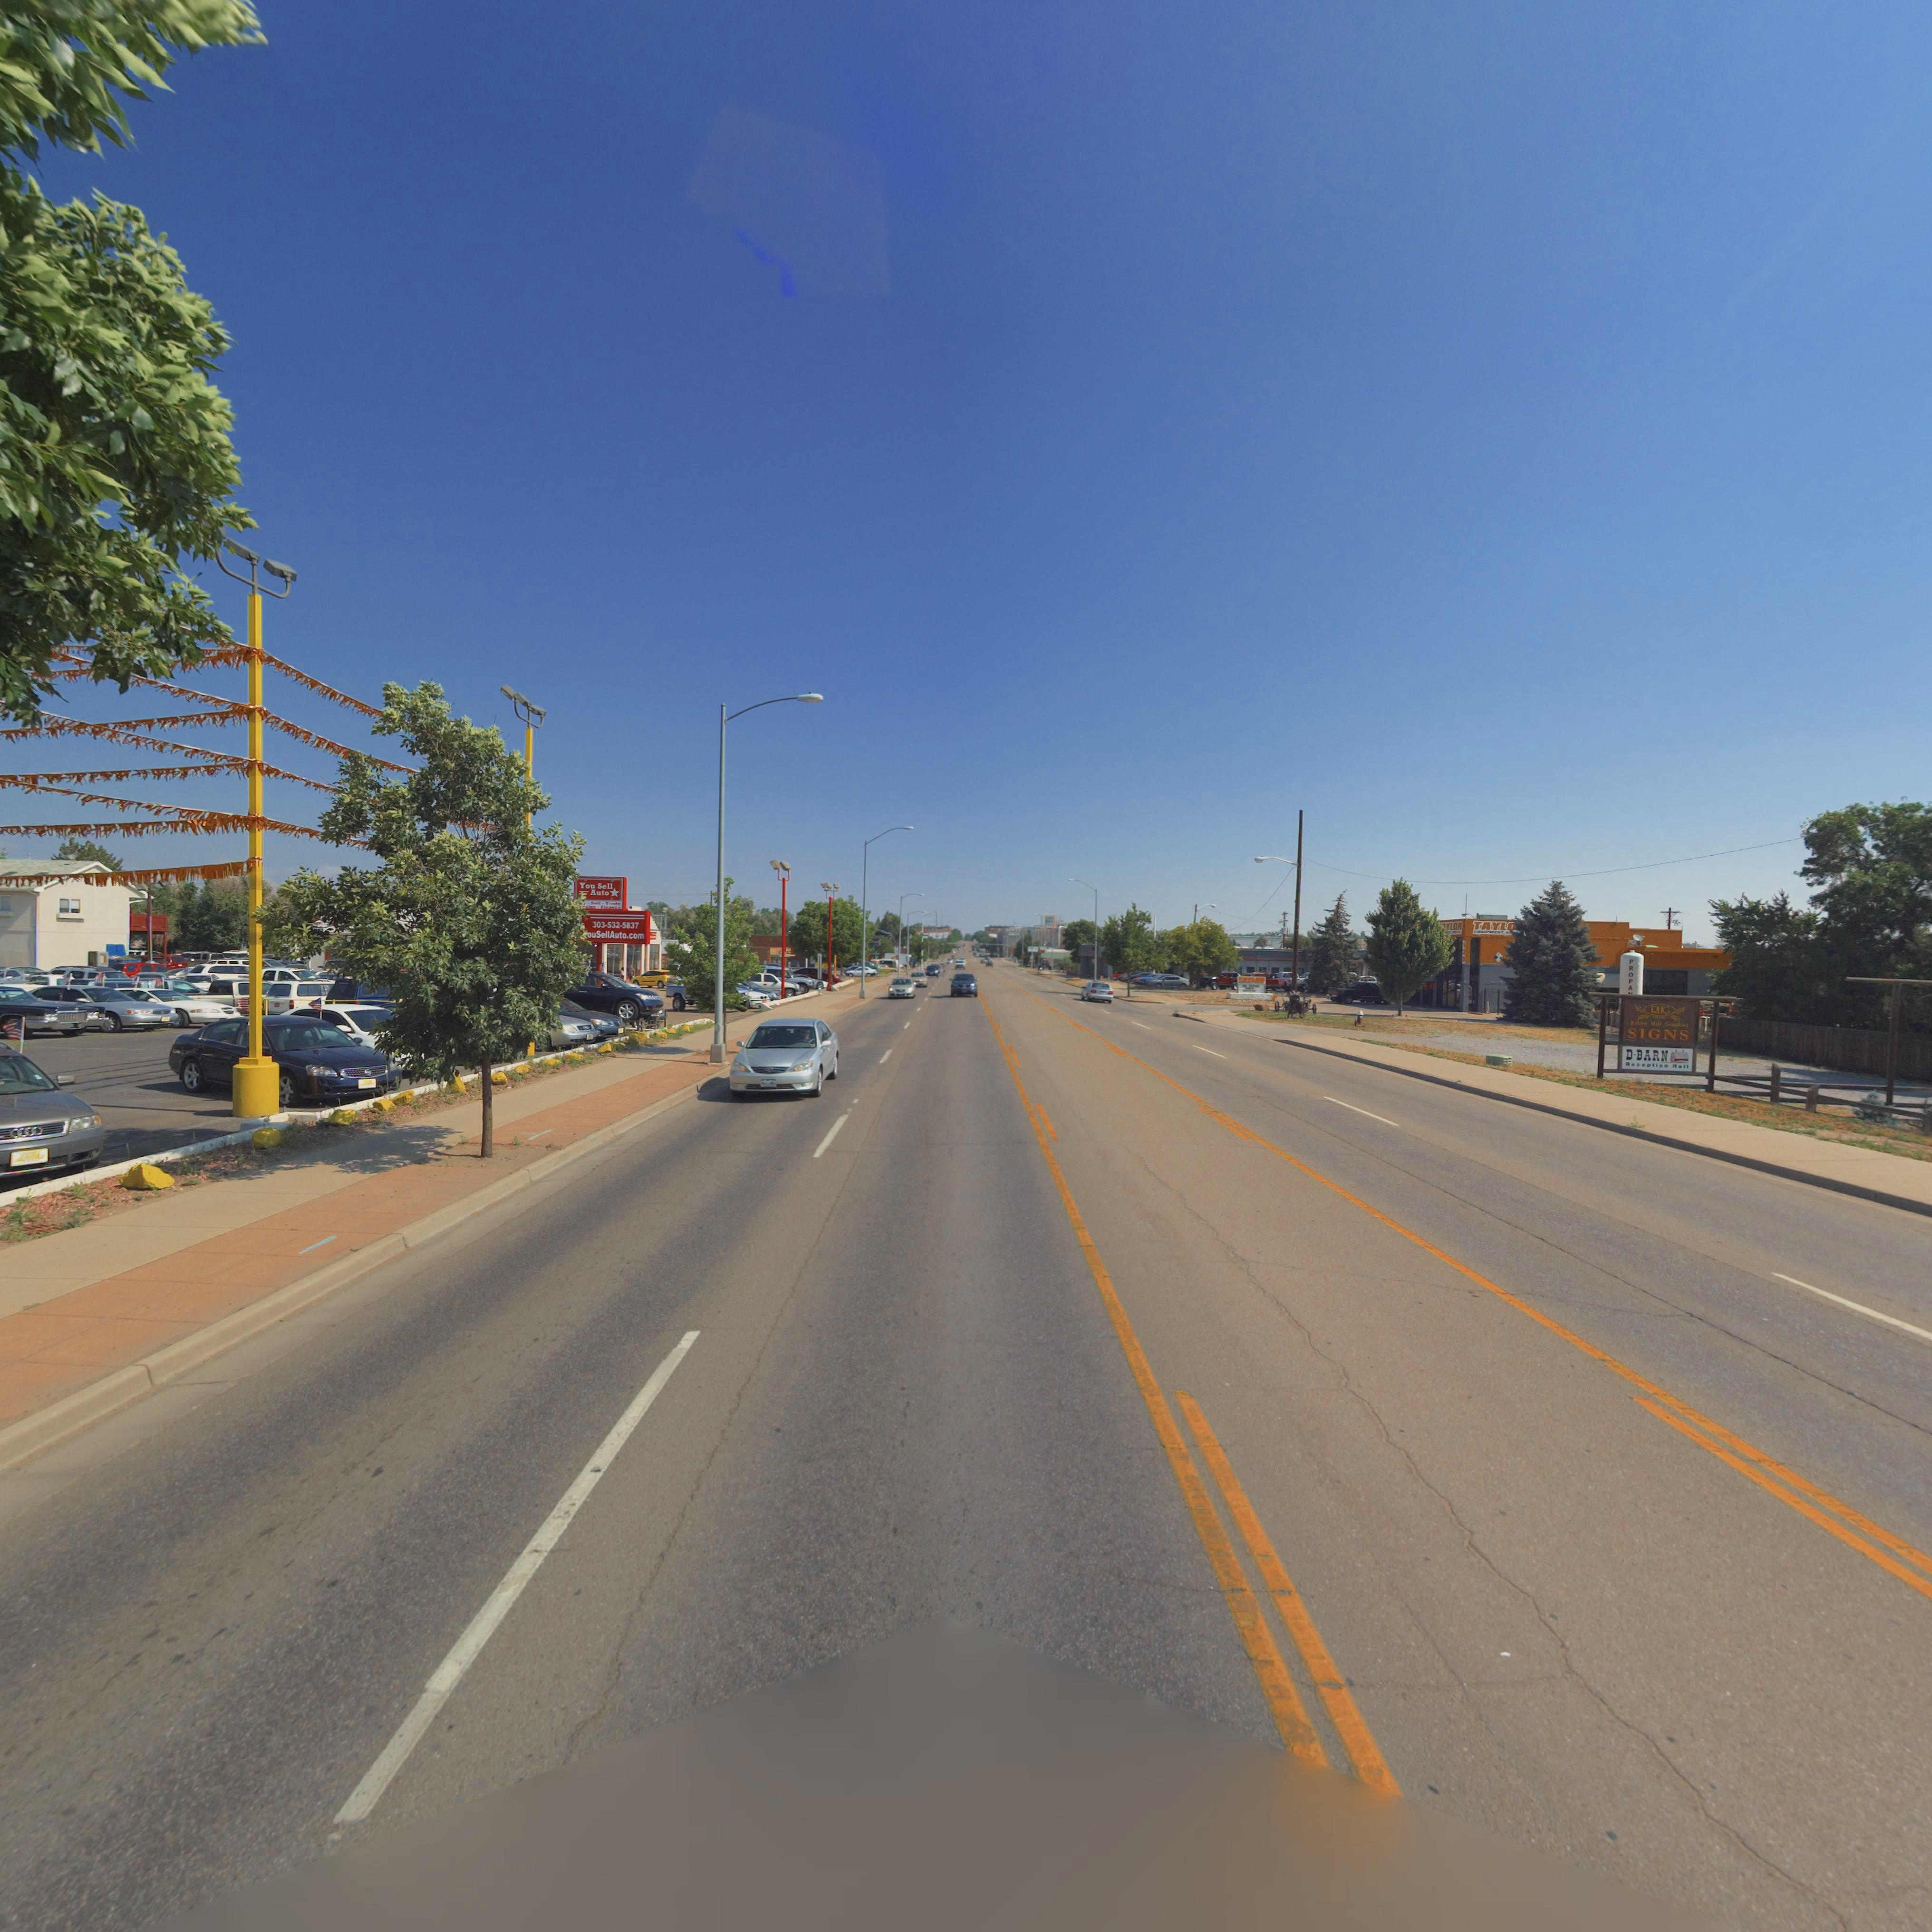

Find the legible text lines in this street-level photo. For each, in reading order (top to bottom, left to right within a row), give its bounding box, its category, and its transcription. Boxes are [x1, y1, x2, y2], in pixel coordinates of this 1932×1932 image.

[579, 882, 613, 889] BusinessName: You Sell
[590, 889, 609, 896] BusinessName: Auto
[1446, 921, 1462, 930] BusinessName: *LOR
[1474, 921, 1516, 931] BusinessName: TAYL*
[1462, 942, 1465, 961] StreetNumber: 130
[1630, 1020, 1688, 1027] BusinessName: ***** H*ll Gr*p**c*
[1625, 1048, 1668, 1062] BusinessName: D-BARN